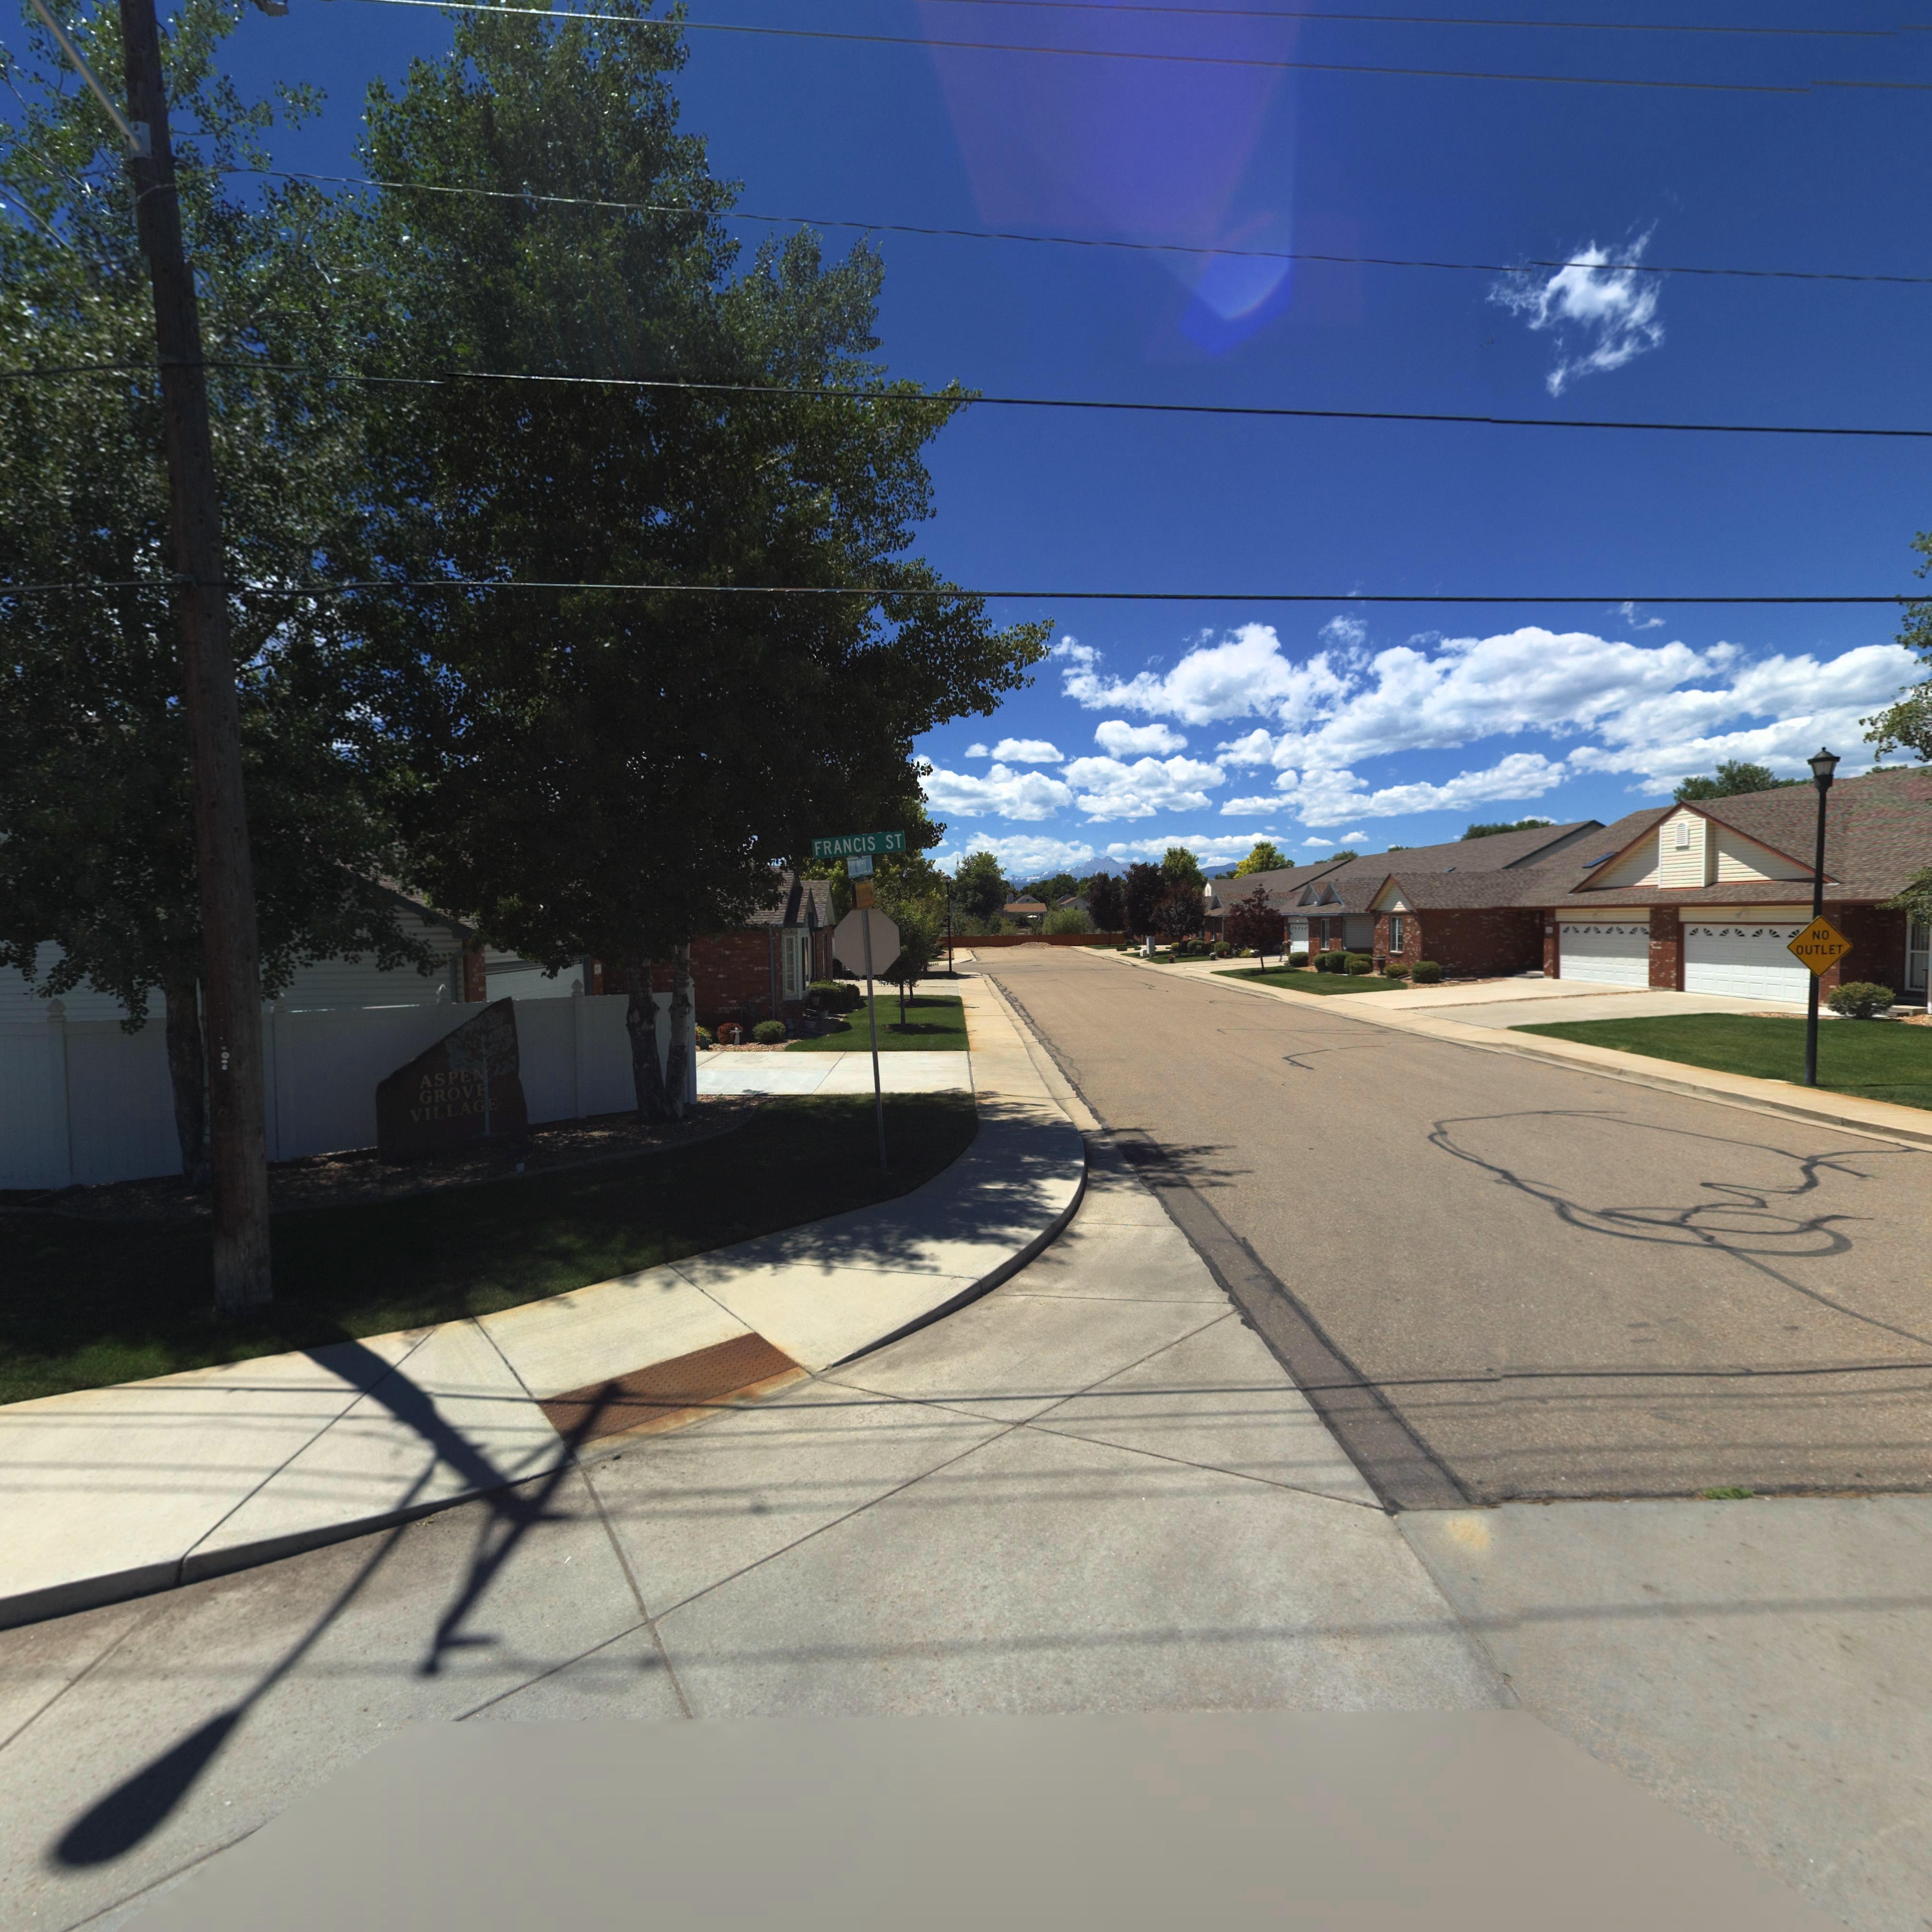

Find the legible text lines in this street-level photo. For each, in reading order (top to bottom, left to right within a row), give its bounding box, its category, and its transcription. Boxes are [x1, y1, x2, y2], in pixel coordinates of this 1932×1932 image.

[812, 832, 902, 856] StreetName: FRANCIS ST
[418, 1066, 485, 1089] BusinessName: Aspen
[418, 1082, 487, 1104] BusinessName: Grove
[407, 1096, 499, 1123] BusinessName: Village